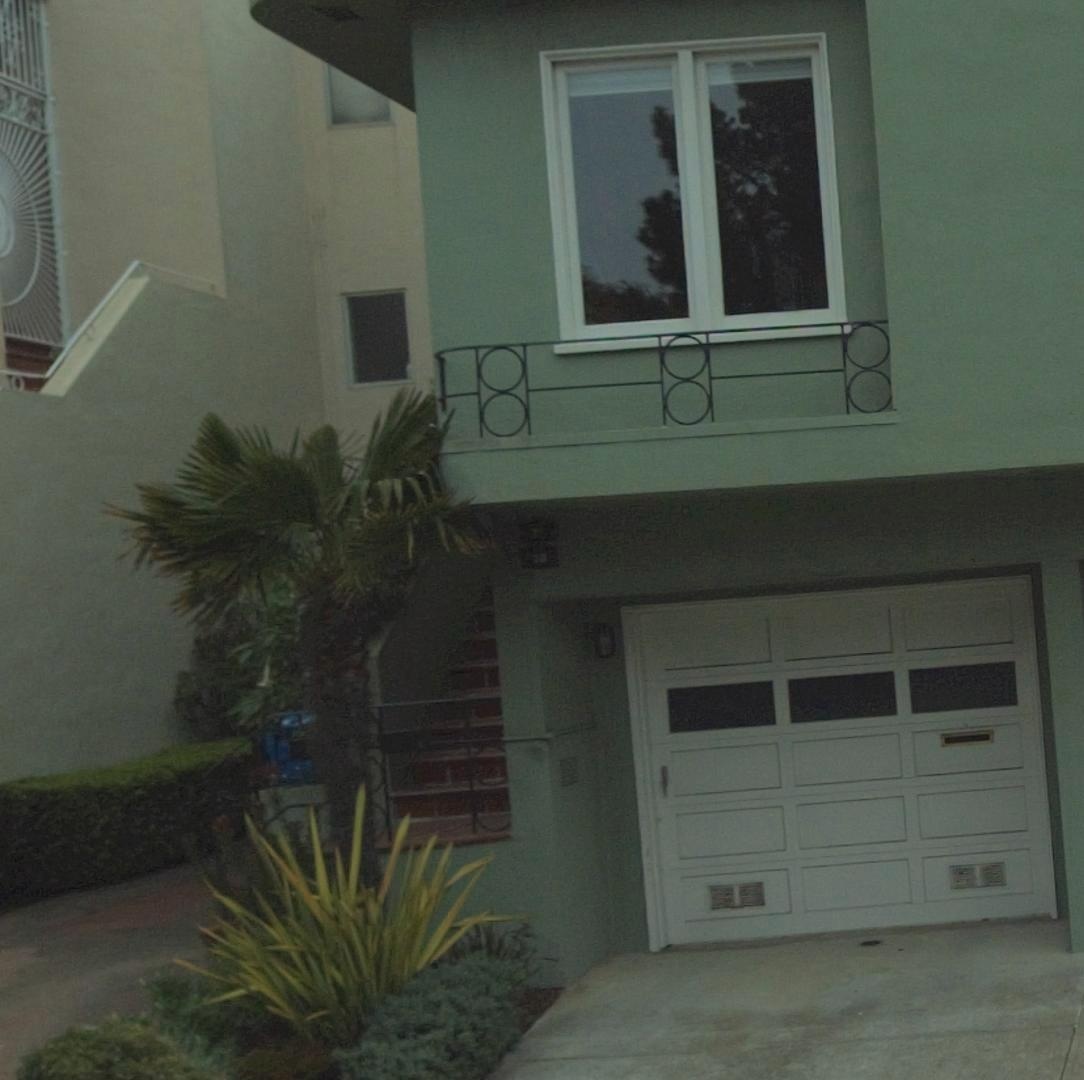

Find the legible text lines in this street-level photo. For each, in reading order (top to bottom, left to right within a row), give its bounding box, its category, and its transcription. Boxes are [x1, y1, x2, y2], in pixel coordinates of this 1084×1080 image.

[528, 526, 548, 539] StreetNumber: 7*
[530, 552, 548, 565] StreetNumber: 70